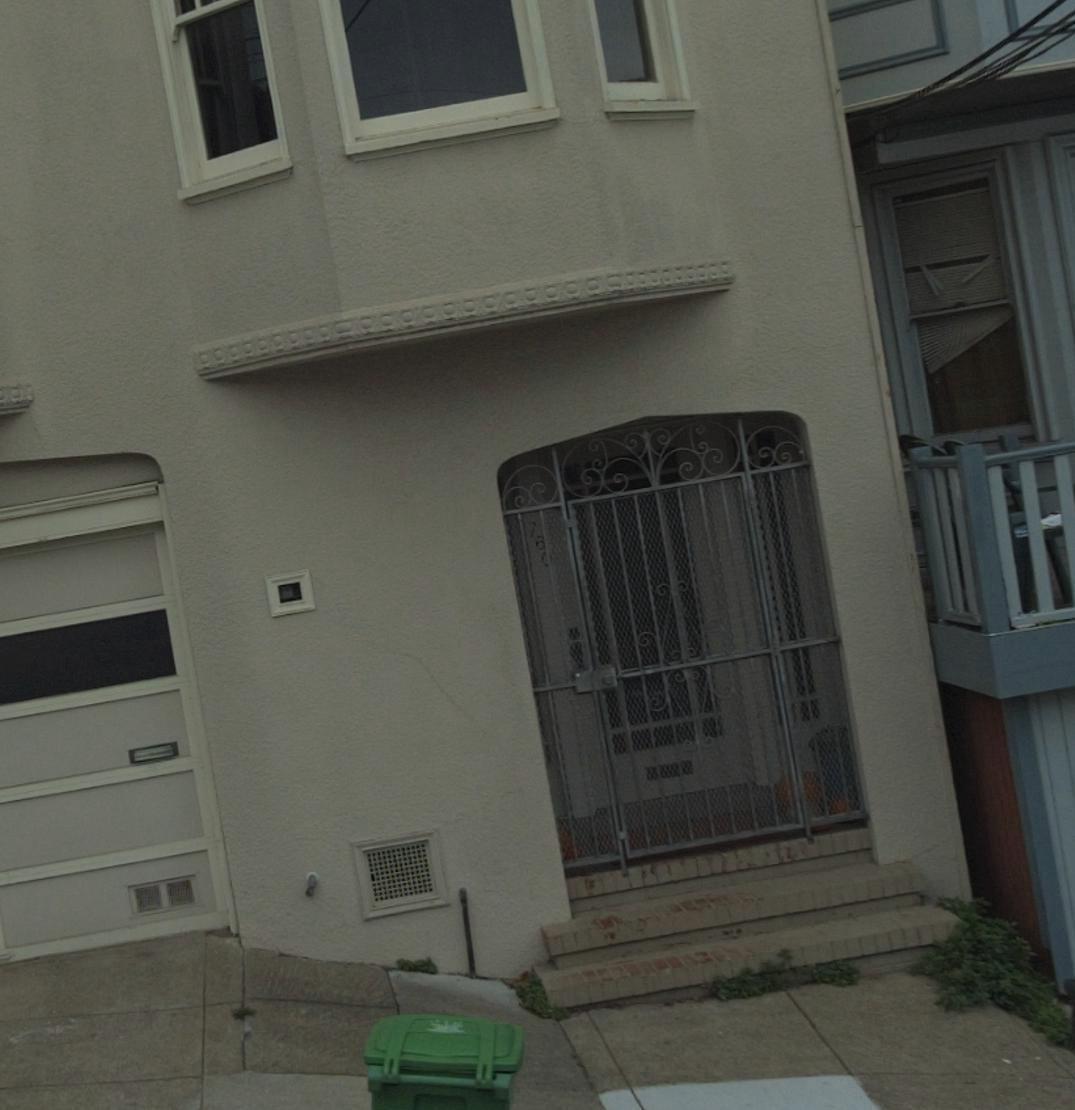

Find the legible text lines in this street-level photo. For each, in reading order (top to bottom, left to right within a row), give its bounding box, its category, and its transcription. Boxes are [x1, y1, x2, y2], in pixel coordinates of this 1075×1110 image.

[525, 520, 557, 568] StreetNumber: 76*